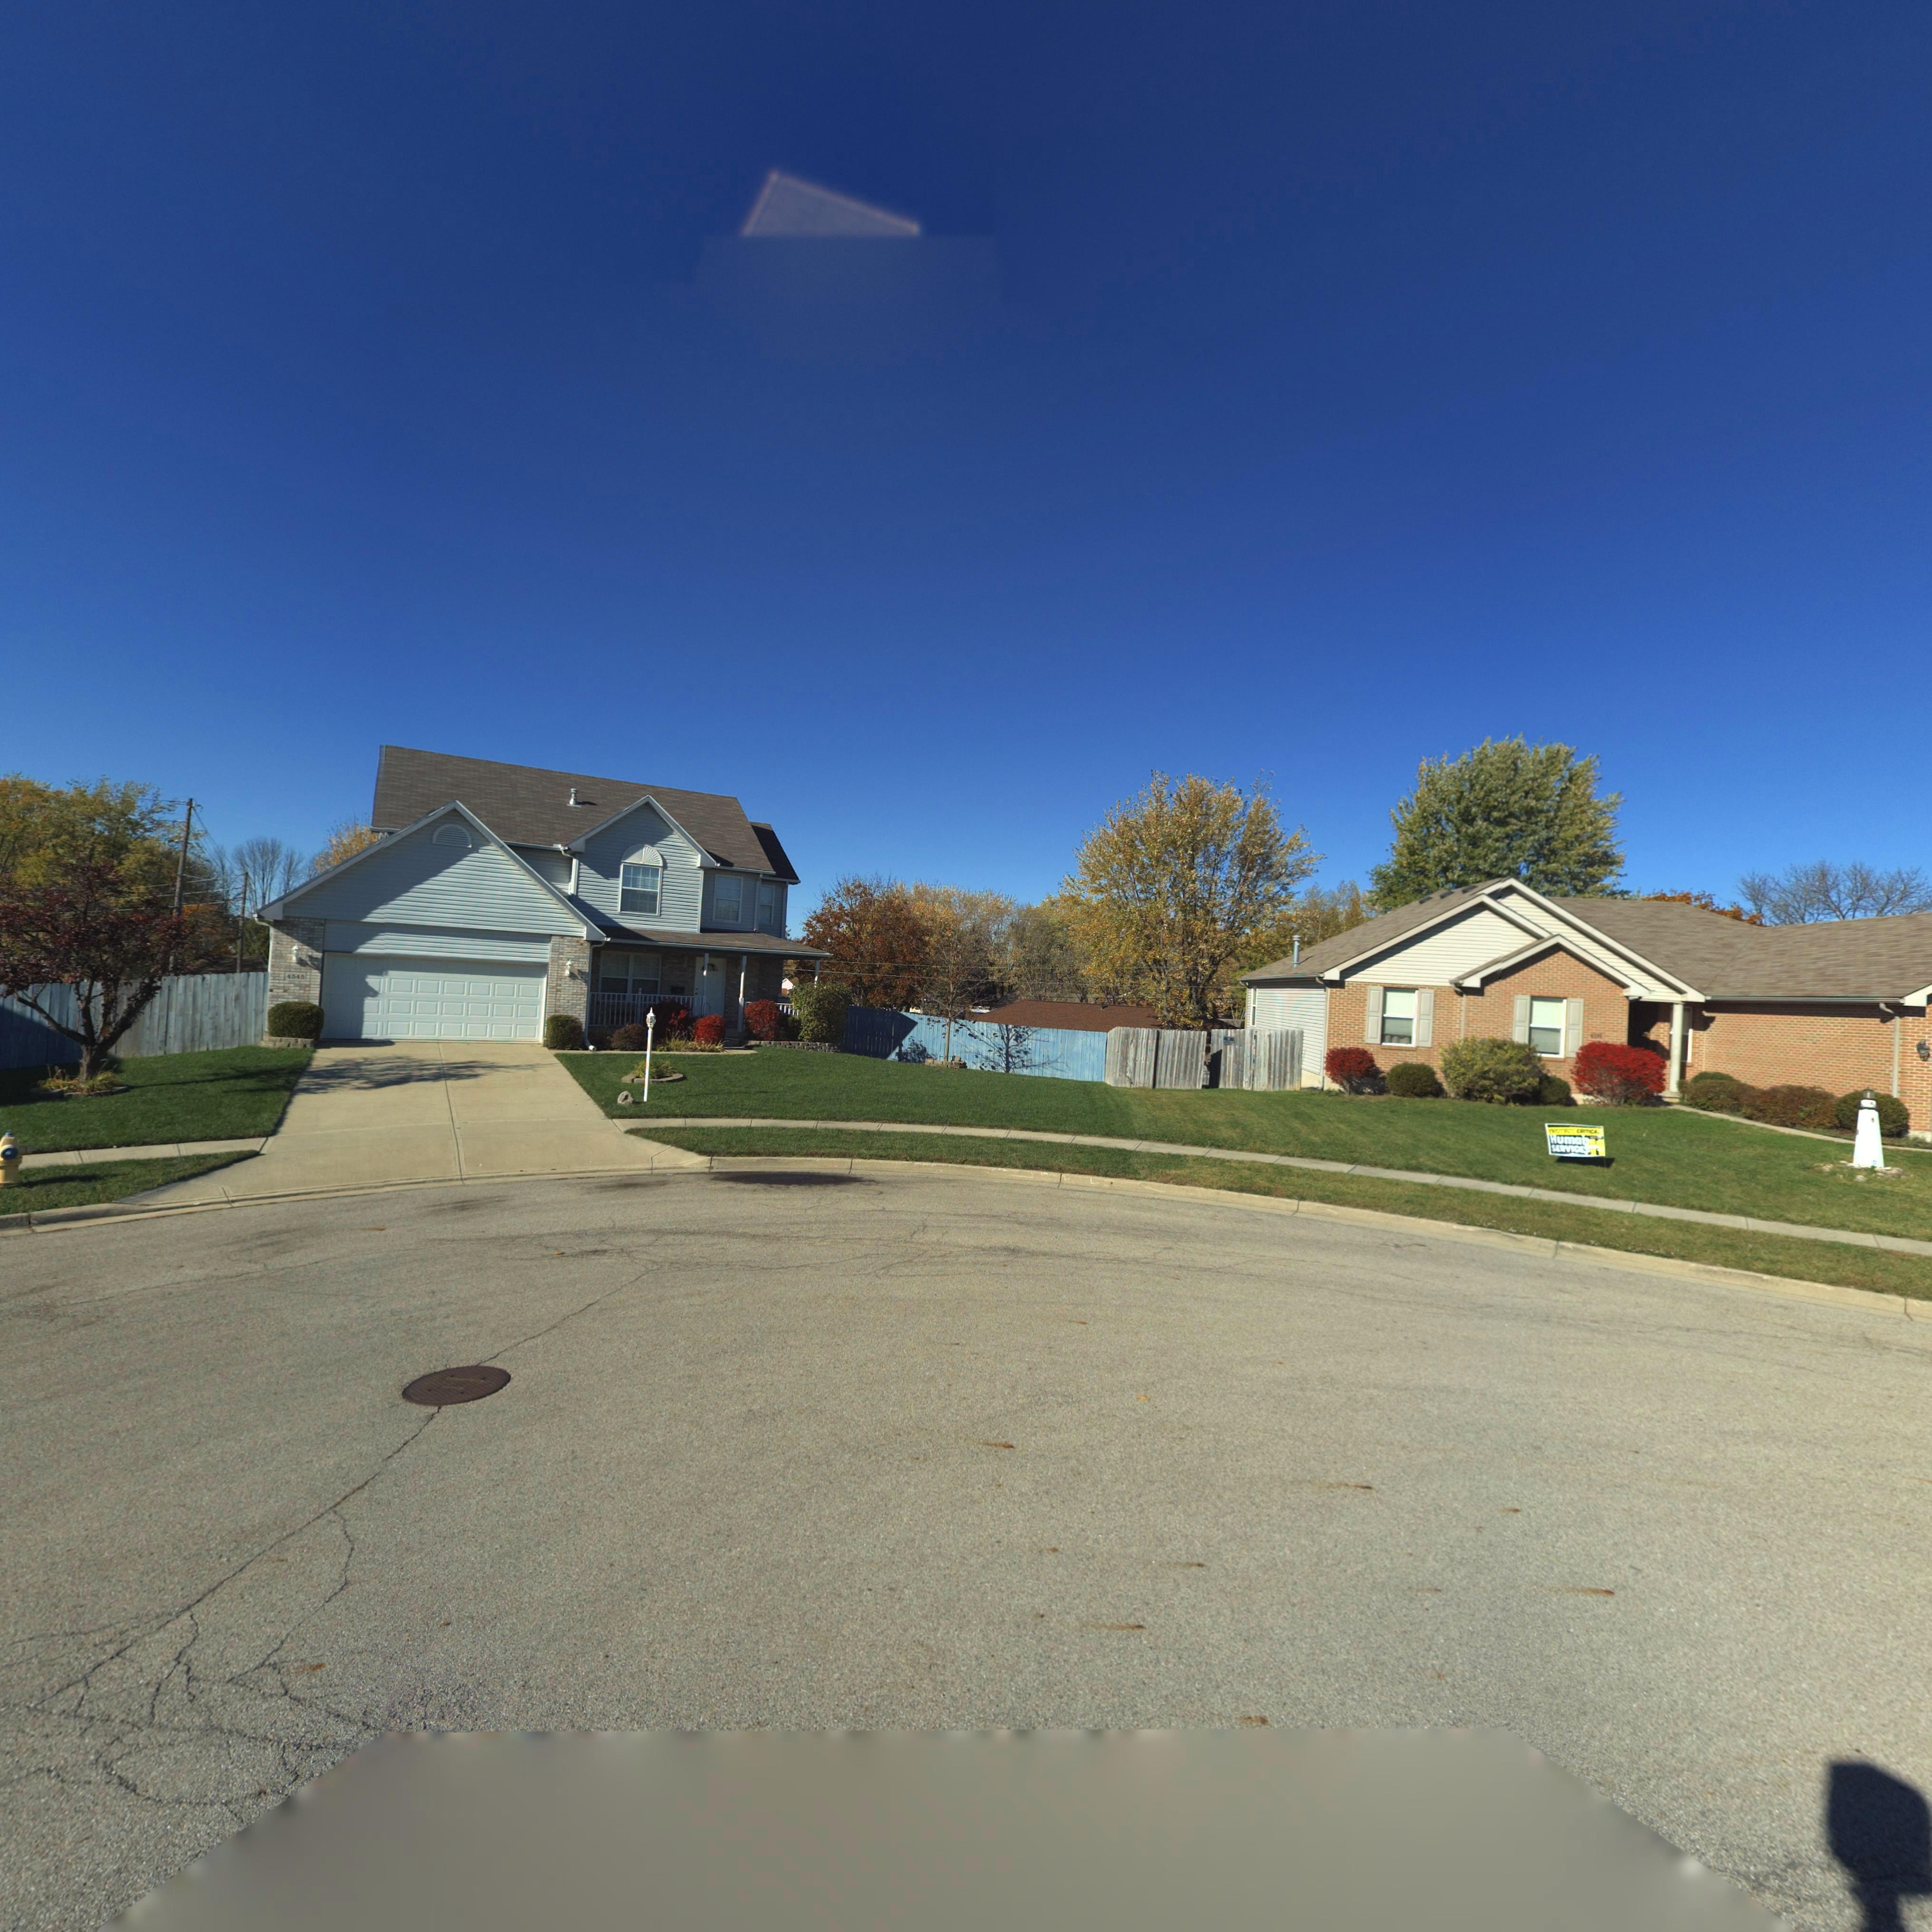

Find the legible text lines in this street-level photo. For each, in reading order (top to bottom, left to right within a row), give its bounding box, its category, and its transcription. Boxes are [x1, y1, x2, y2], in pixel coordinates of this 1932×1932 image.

[285, 973, 306, 980] StreetNumber: 4*4*
[1576, 1128, 1598, 1134] None: CRIT*CA
[1549, 1134, 1591, 1146] None: Human
[1551, 1144, 1591, 1154] None: SERVICES
[1587, 1138, 1606, 1158] None: 11